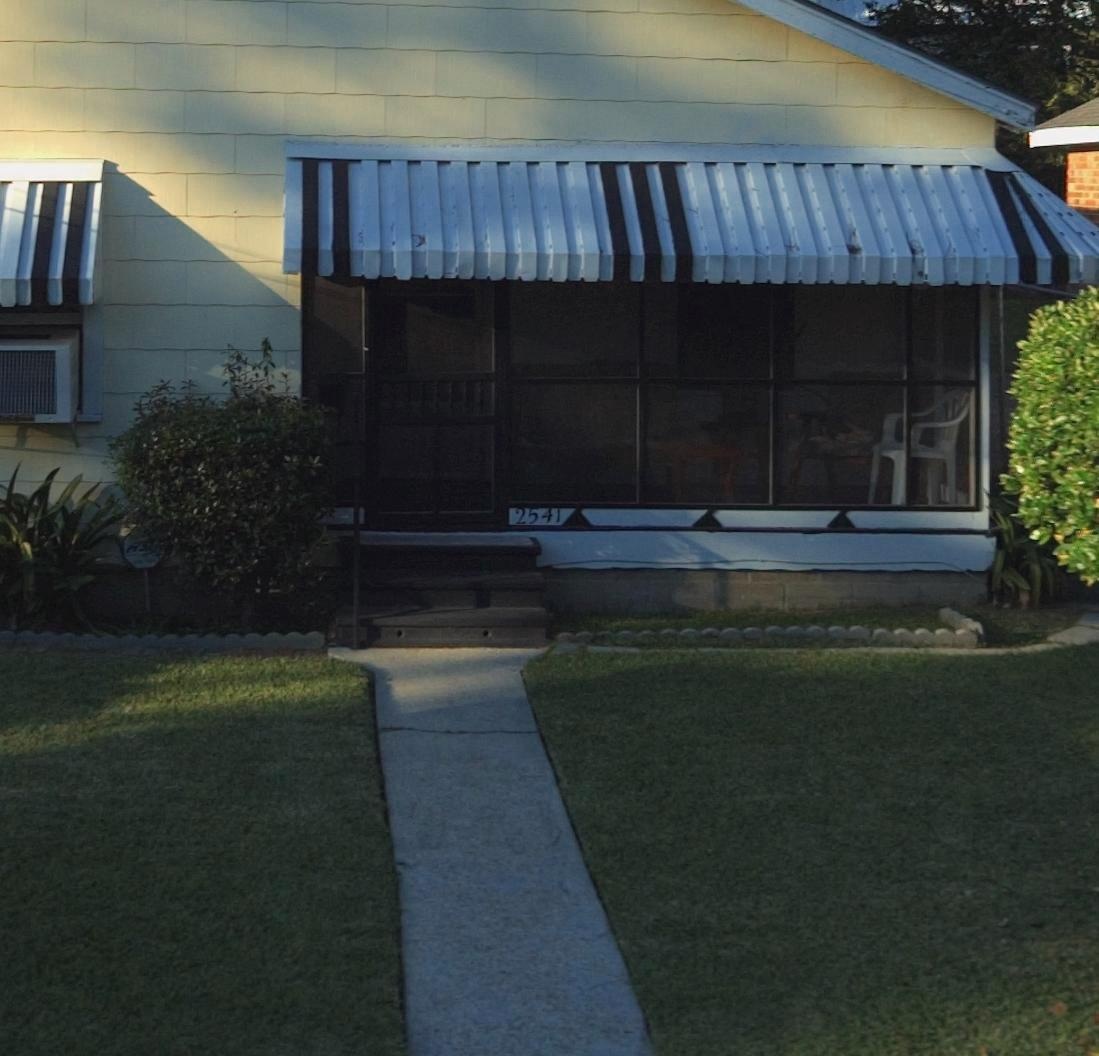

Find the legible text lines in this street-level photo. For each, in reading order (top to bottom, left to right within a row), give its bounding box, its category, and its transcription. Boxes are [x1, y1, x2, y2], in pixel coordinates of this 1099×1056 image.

[513, 505, 563, 526] StreetNumber: 2541